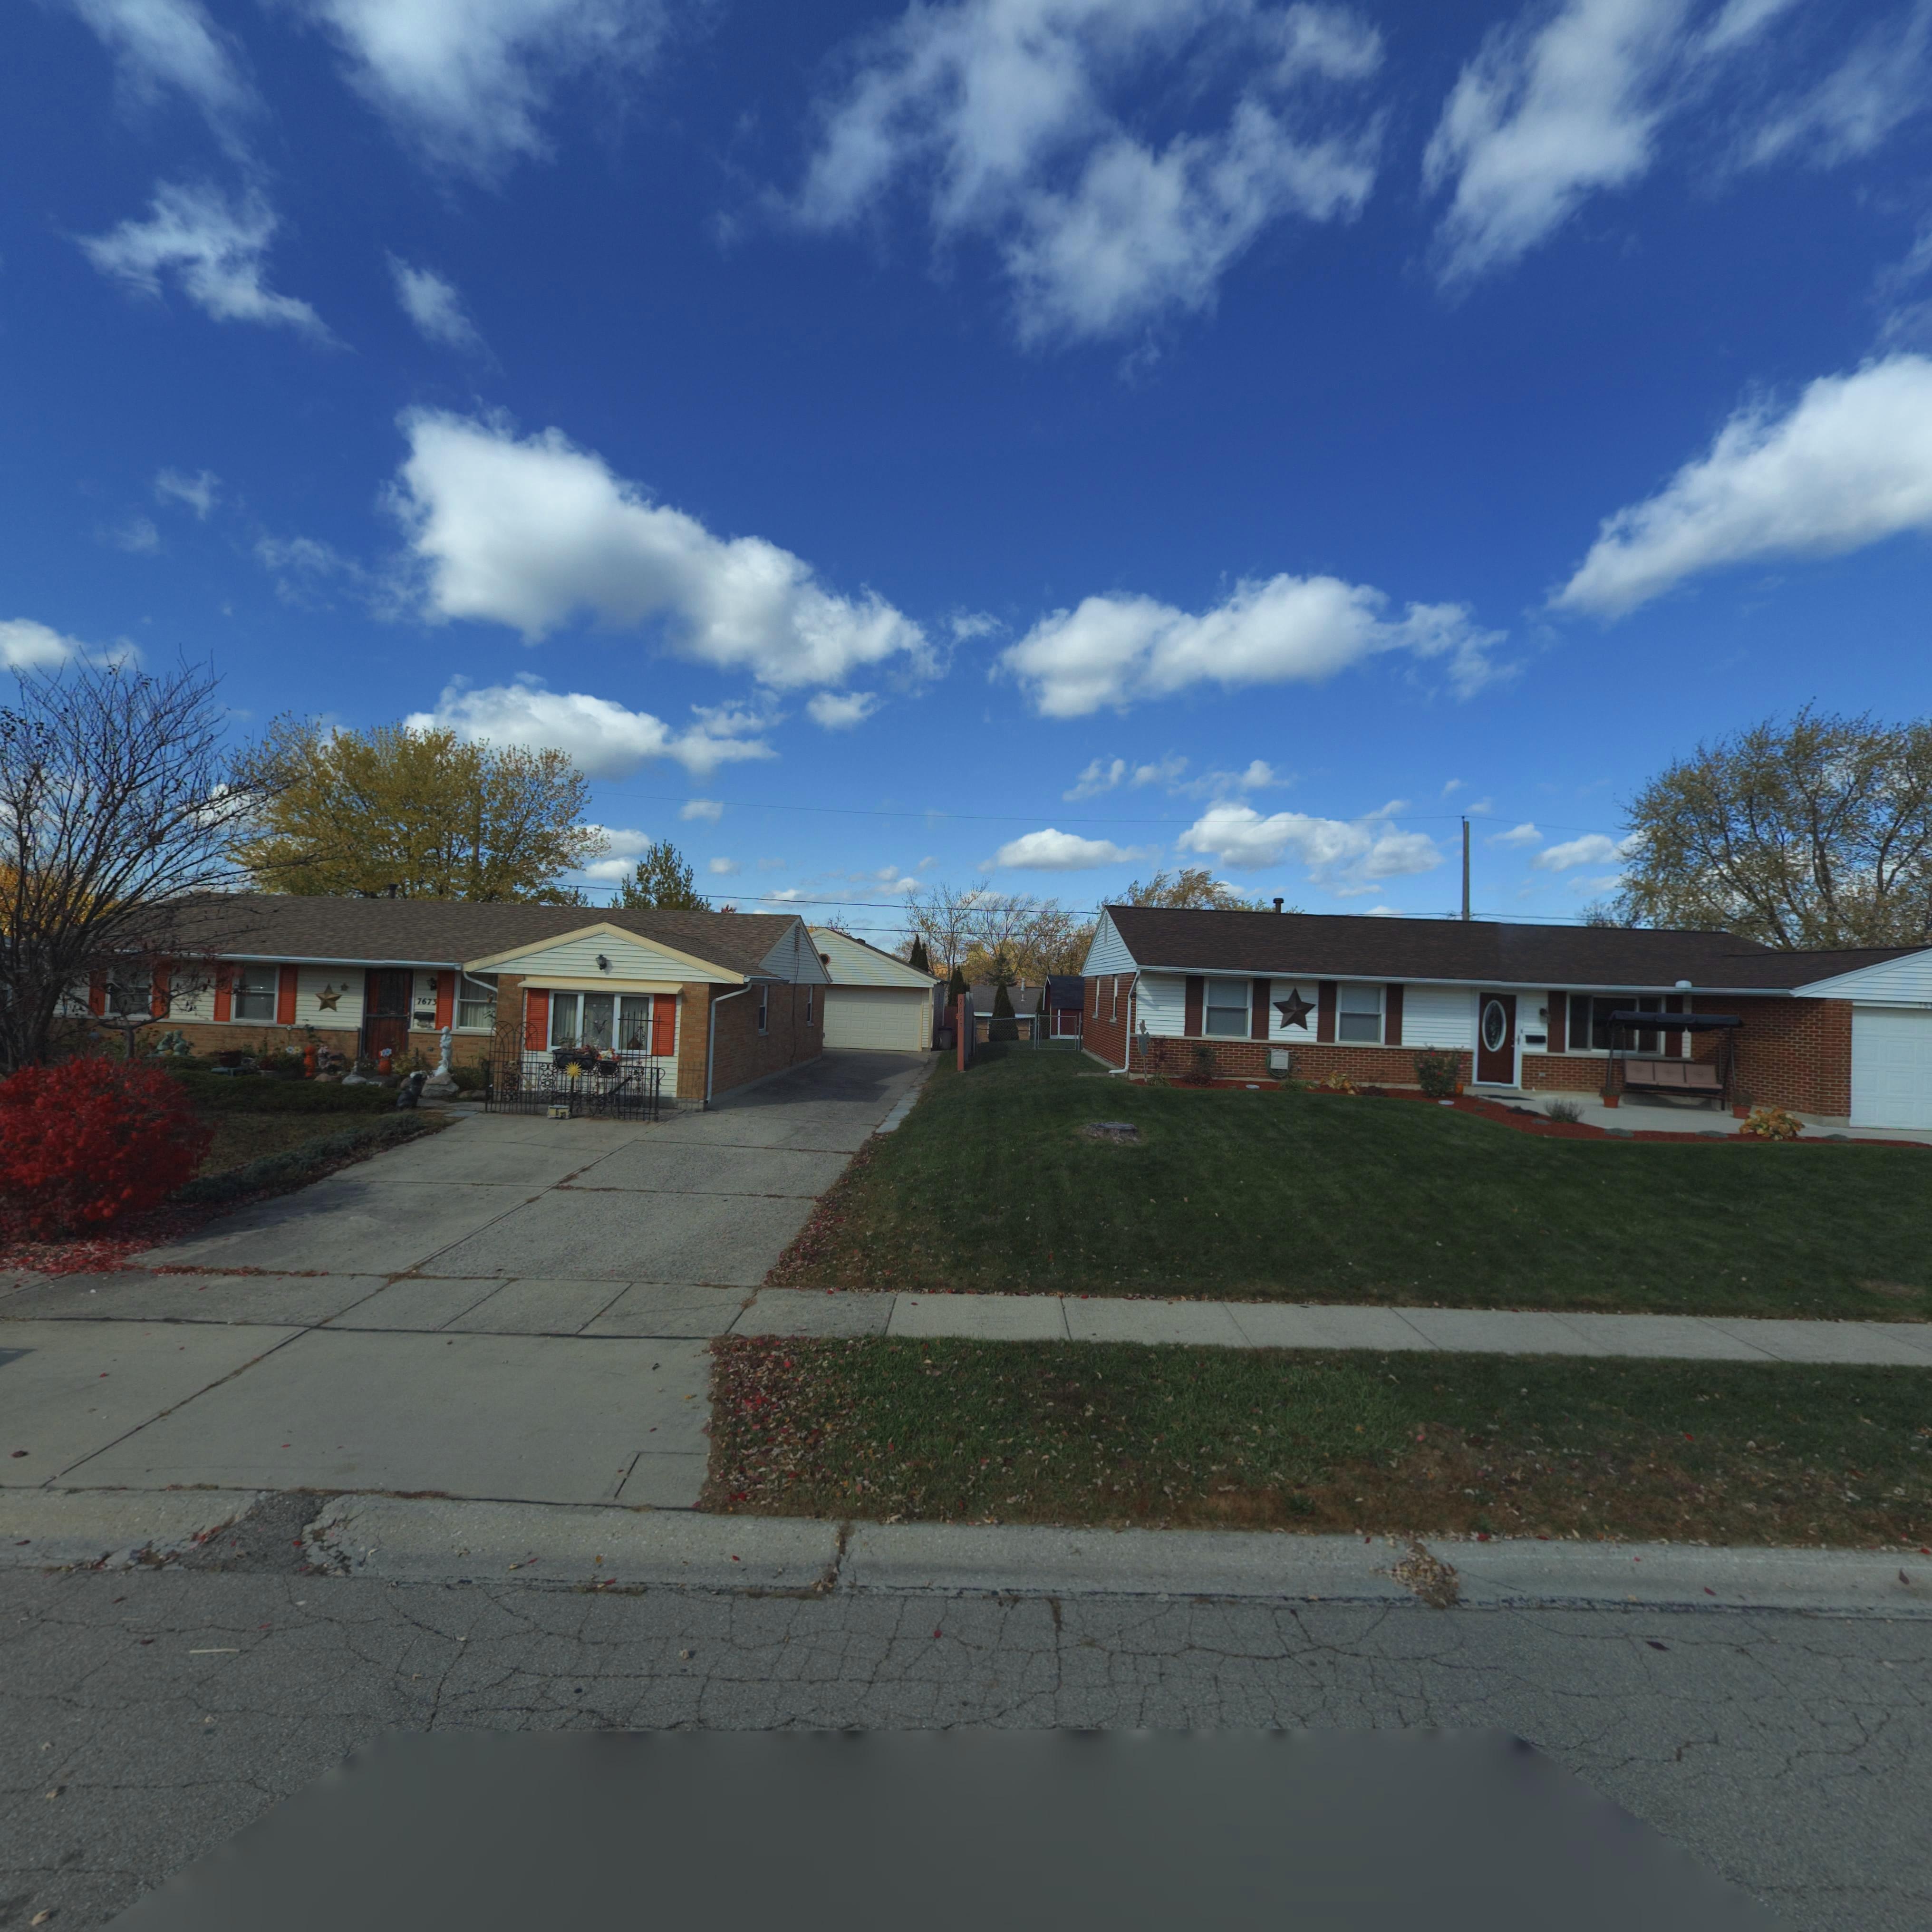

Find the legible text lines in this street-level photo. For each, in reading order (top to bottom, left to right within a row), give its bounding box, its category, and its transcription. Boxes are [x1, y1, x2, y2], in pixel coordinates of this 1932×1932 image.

[417, 997, 438, 1006] StreetNumber: 7673
[555, 1108, 567, 1120] StreetNumber: 673